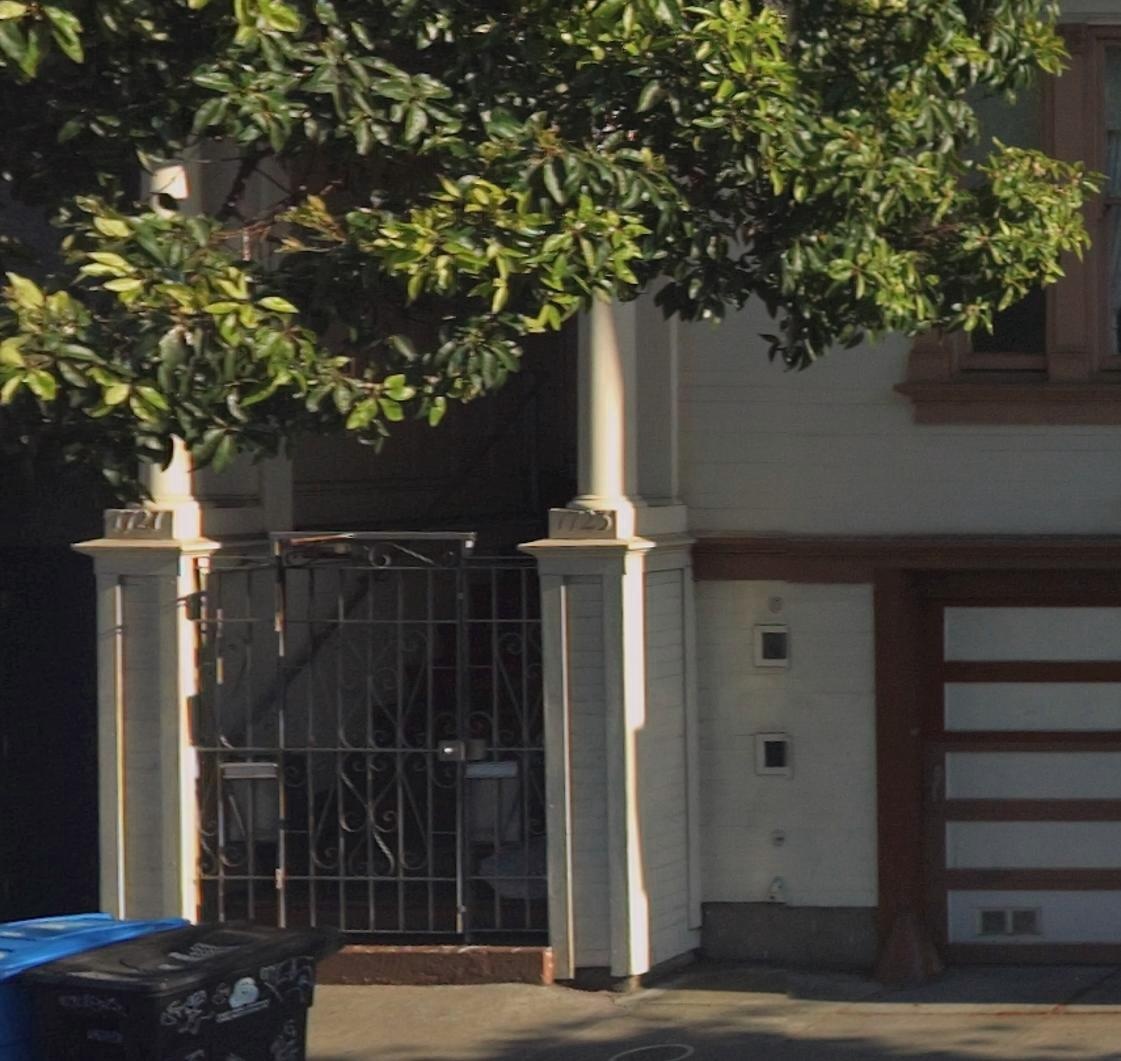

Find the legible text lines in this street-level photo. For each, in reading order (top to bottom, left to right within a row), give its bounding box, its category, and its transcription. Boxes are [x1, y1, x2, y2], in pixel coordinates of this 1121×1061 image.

[111, 510, 162, 530] StreetNumber: 1721
[555, 510, 612, 532] StreetNumber: 1723